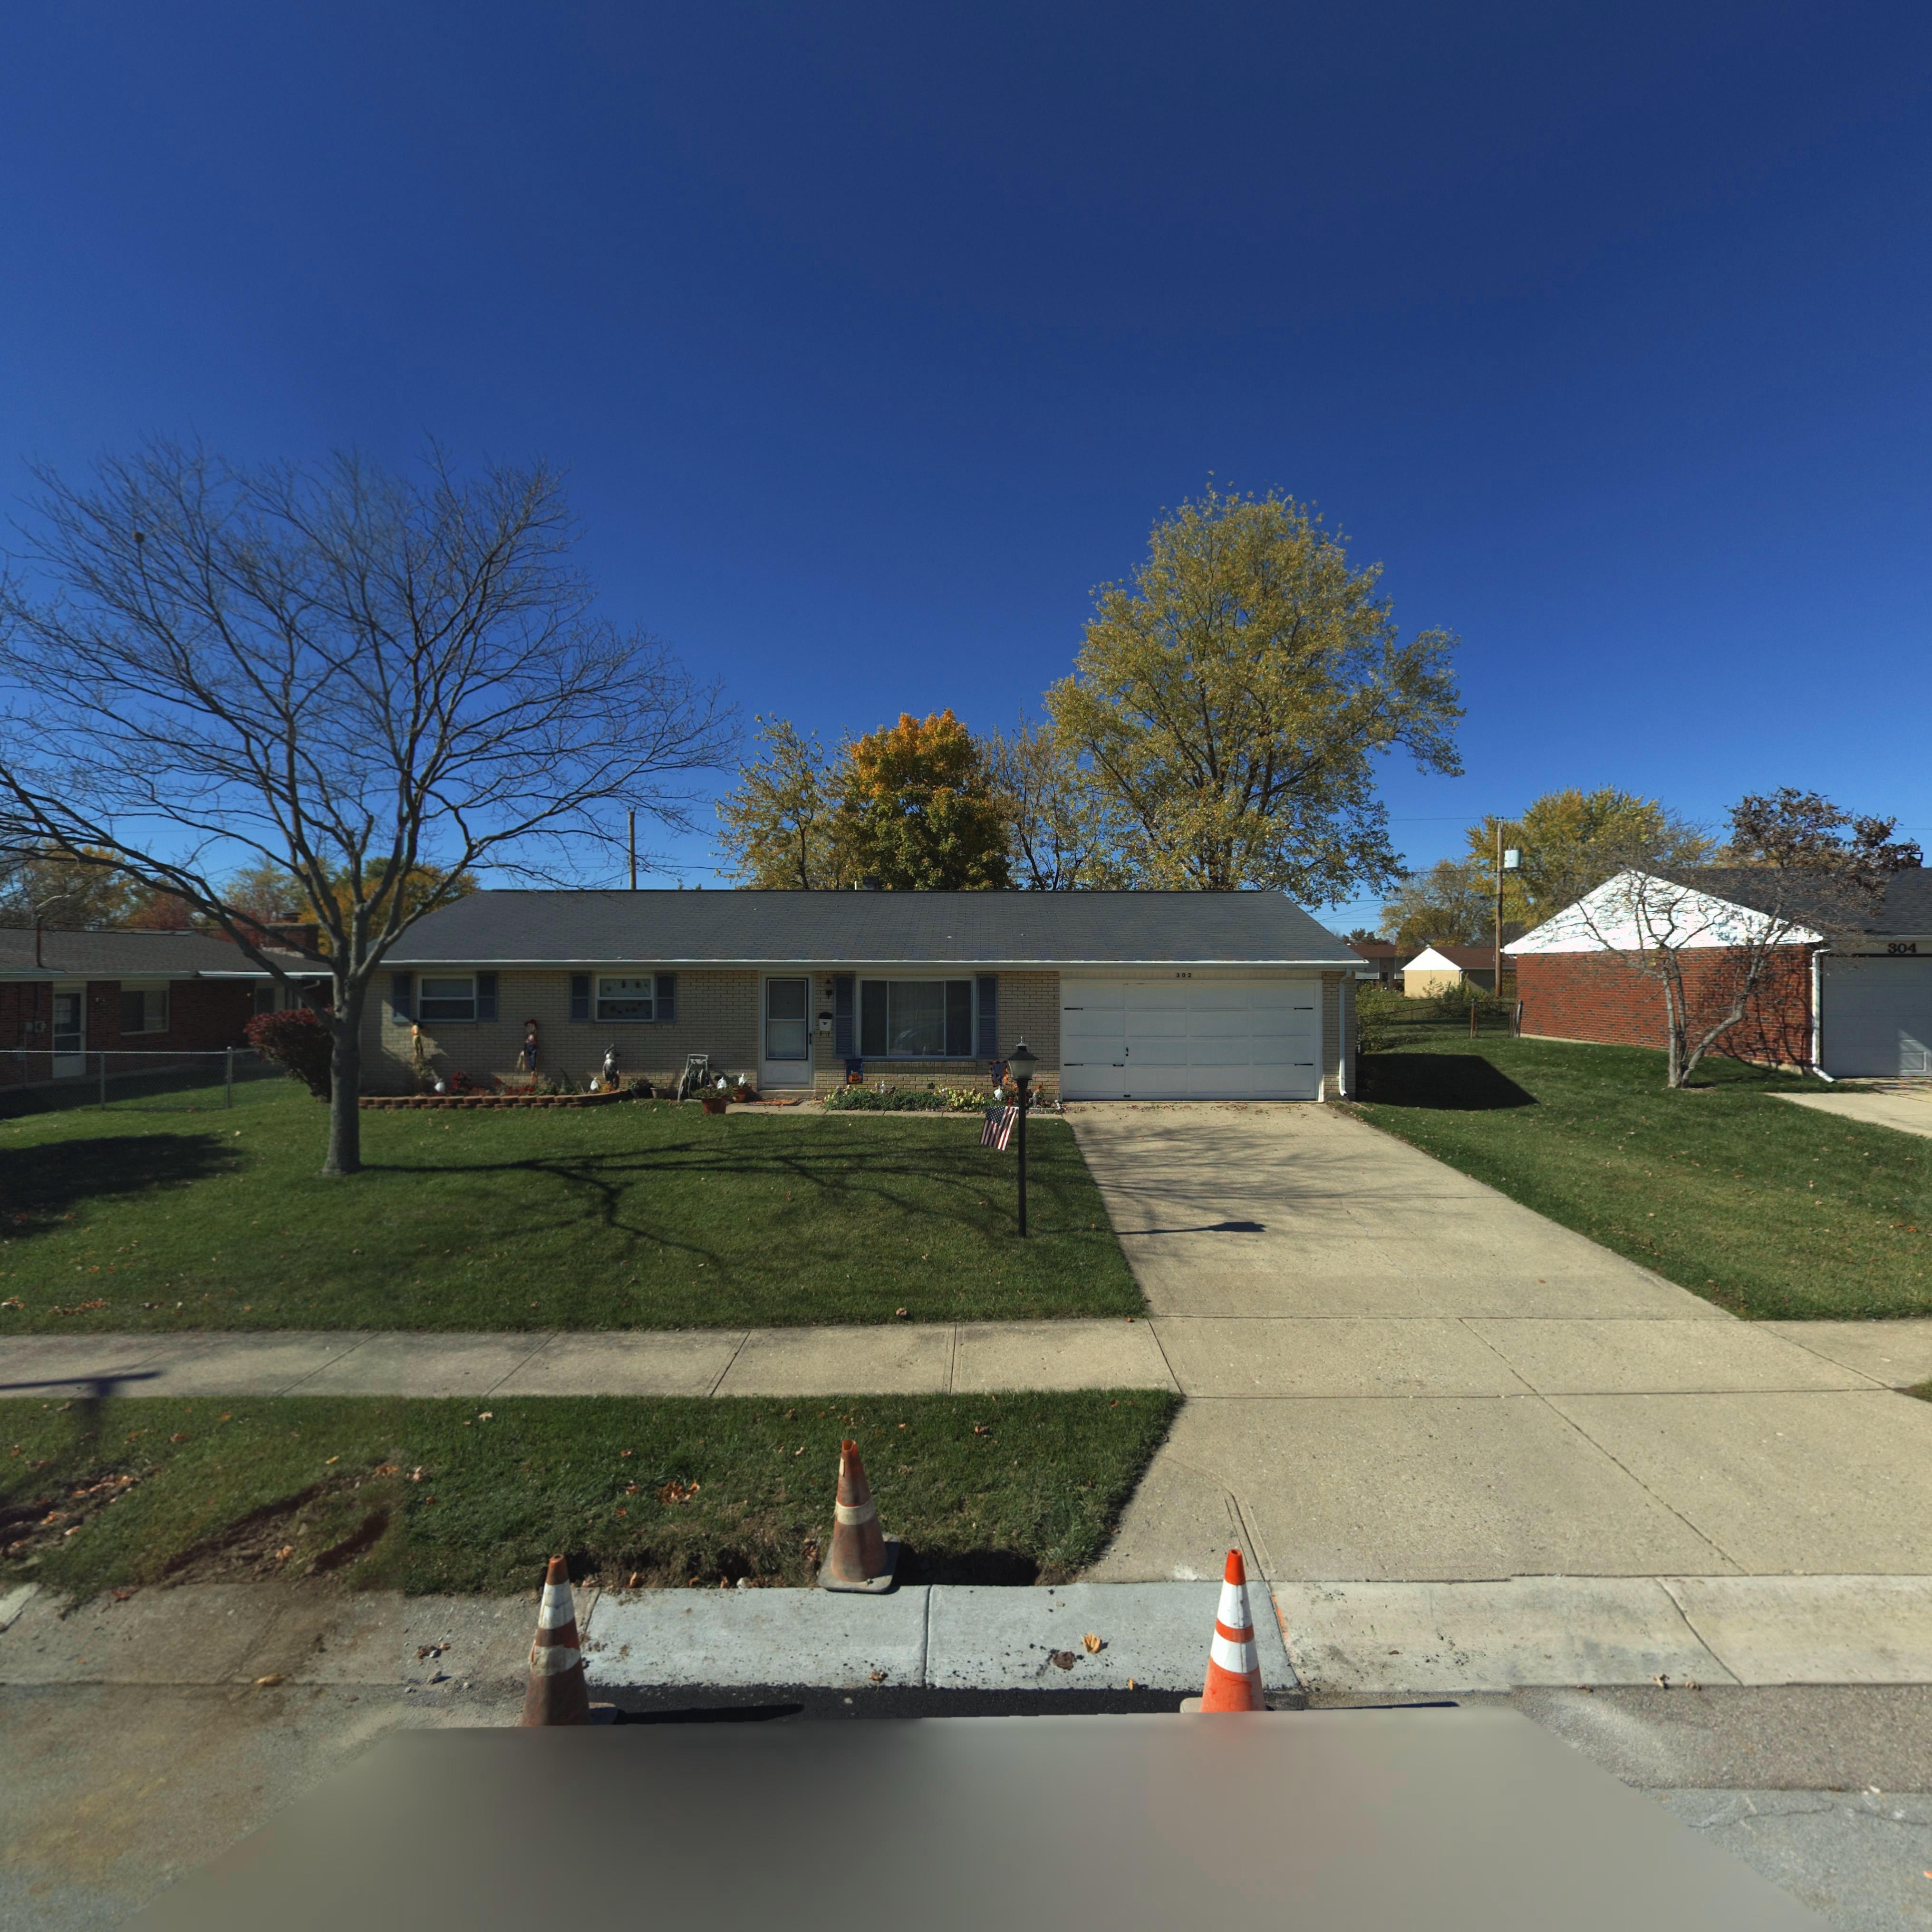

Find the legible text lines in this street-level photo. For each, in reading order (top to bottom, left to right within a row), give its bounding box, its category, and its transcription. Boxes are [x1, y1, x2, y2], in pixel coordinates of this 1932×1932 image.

[1887, 943, 1917, 954] StreetNumber: 304
[1176, 972, 1191, 978] StreetNumber: 302